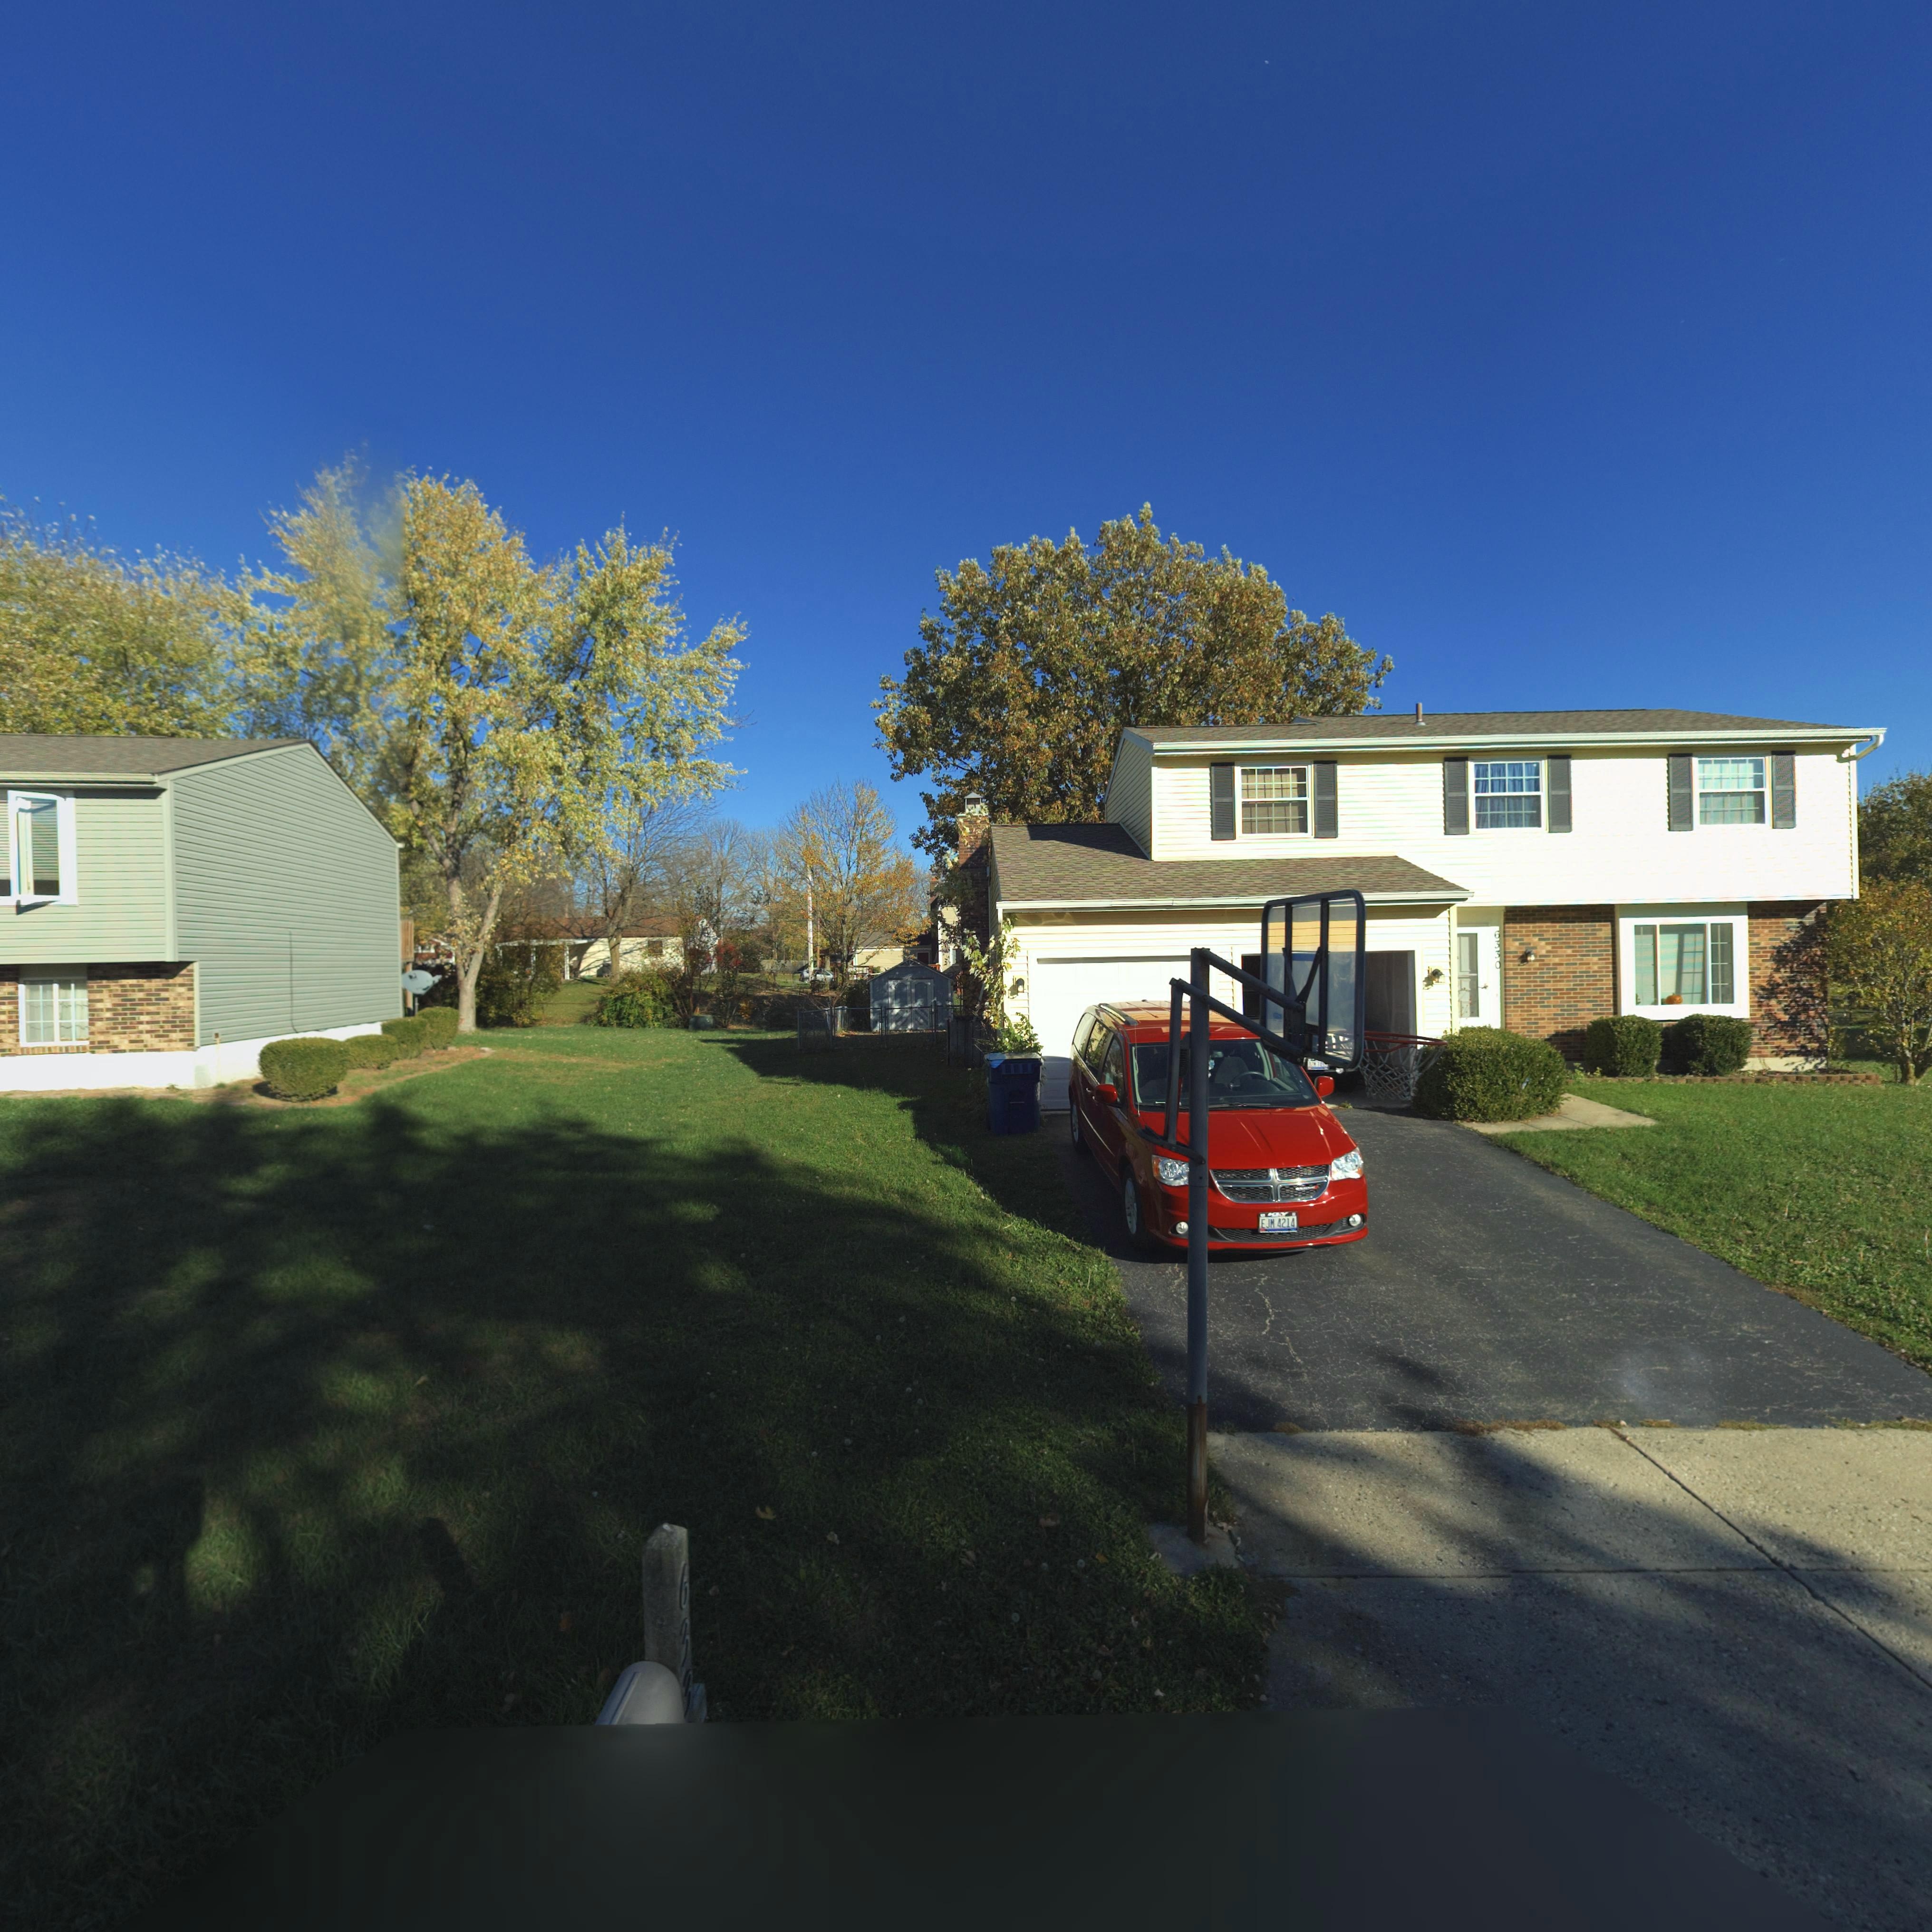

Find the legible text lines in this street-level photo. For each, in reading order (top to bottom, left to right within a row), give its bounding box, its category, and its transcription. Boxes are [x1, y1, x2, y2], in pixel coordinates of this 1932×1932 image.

[1493, 929, 1502, 970] StreetNumber: 6330
[676, 1556, 696, 1720] StreetNumber: 633